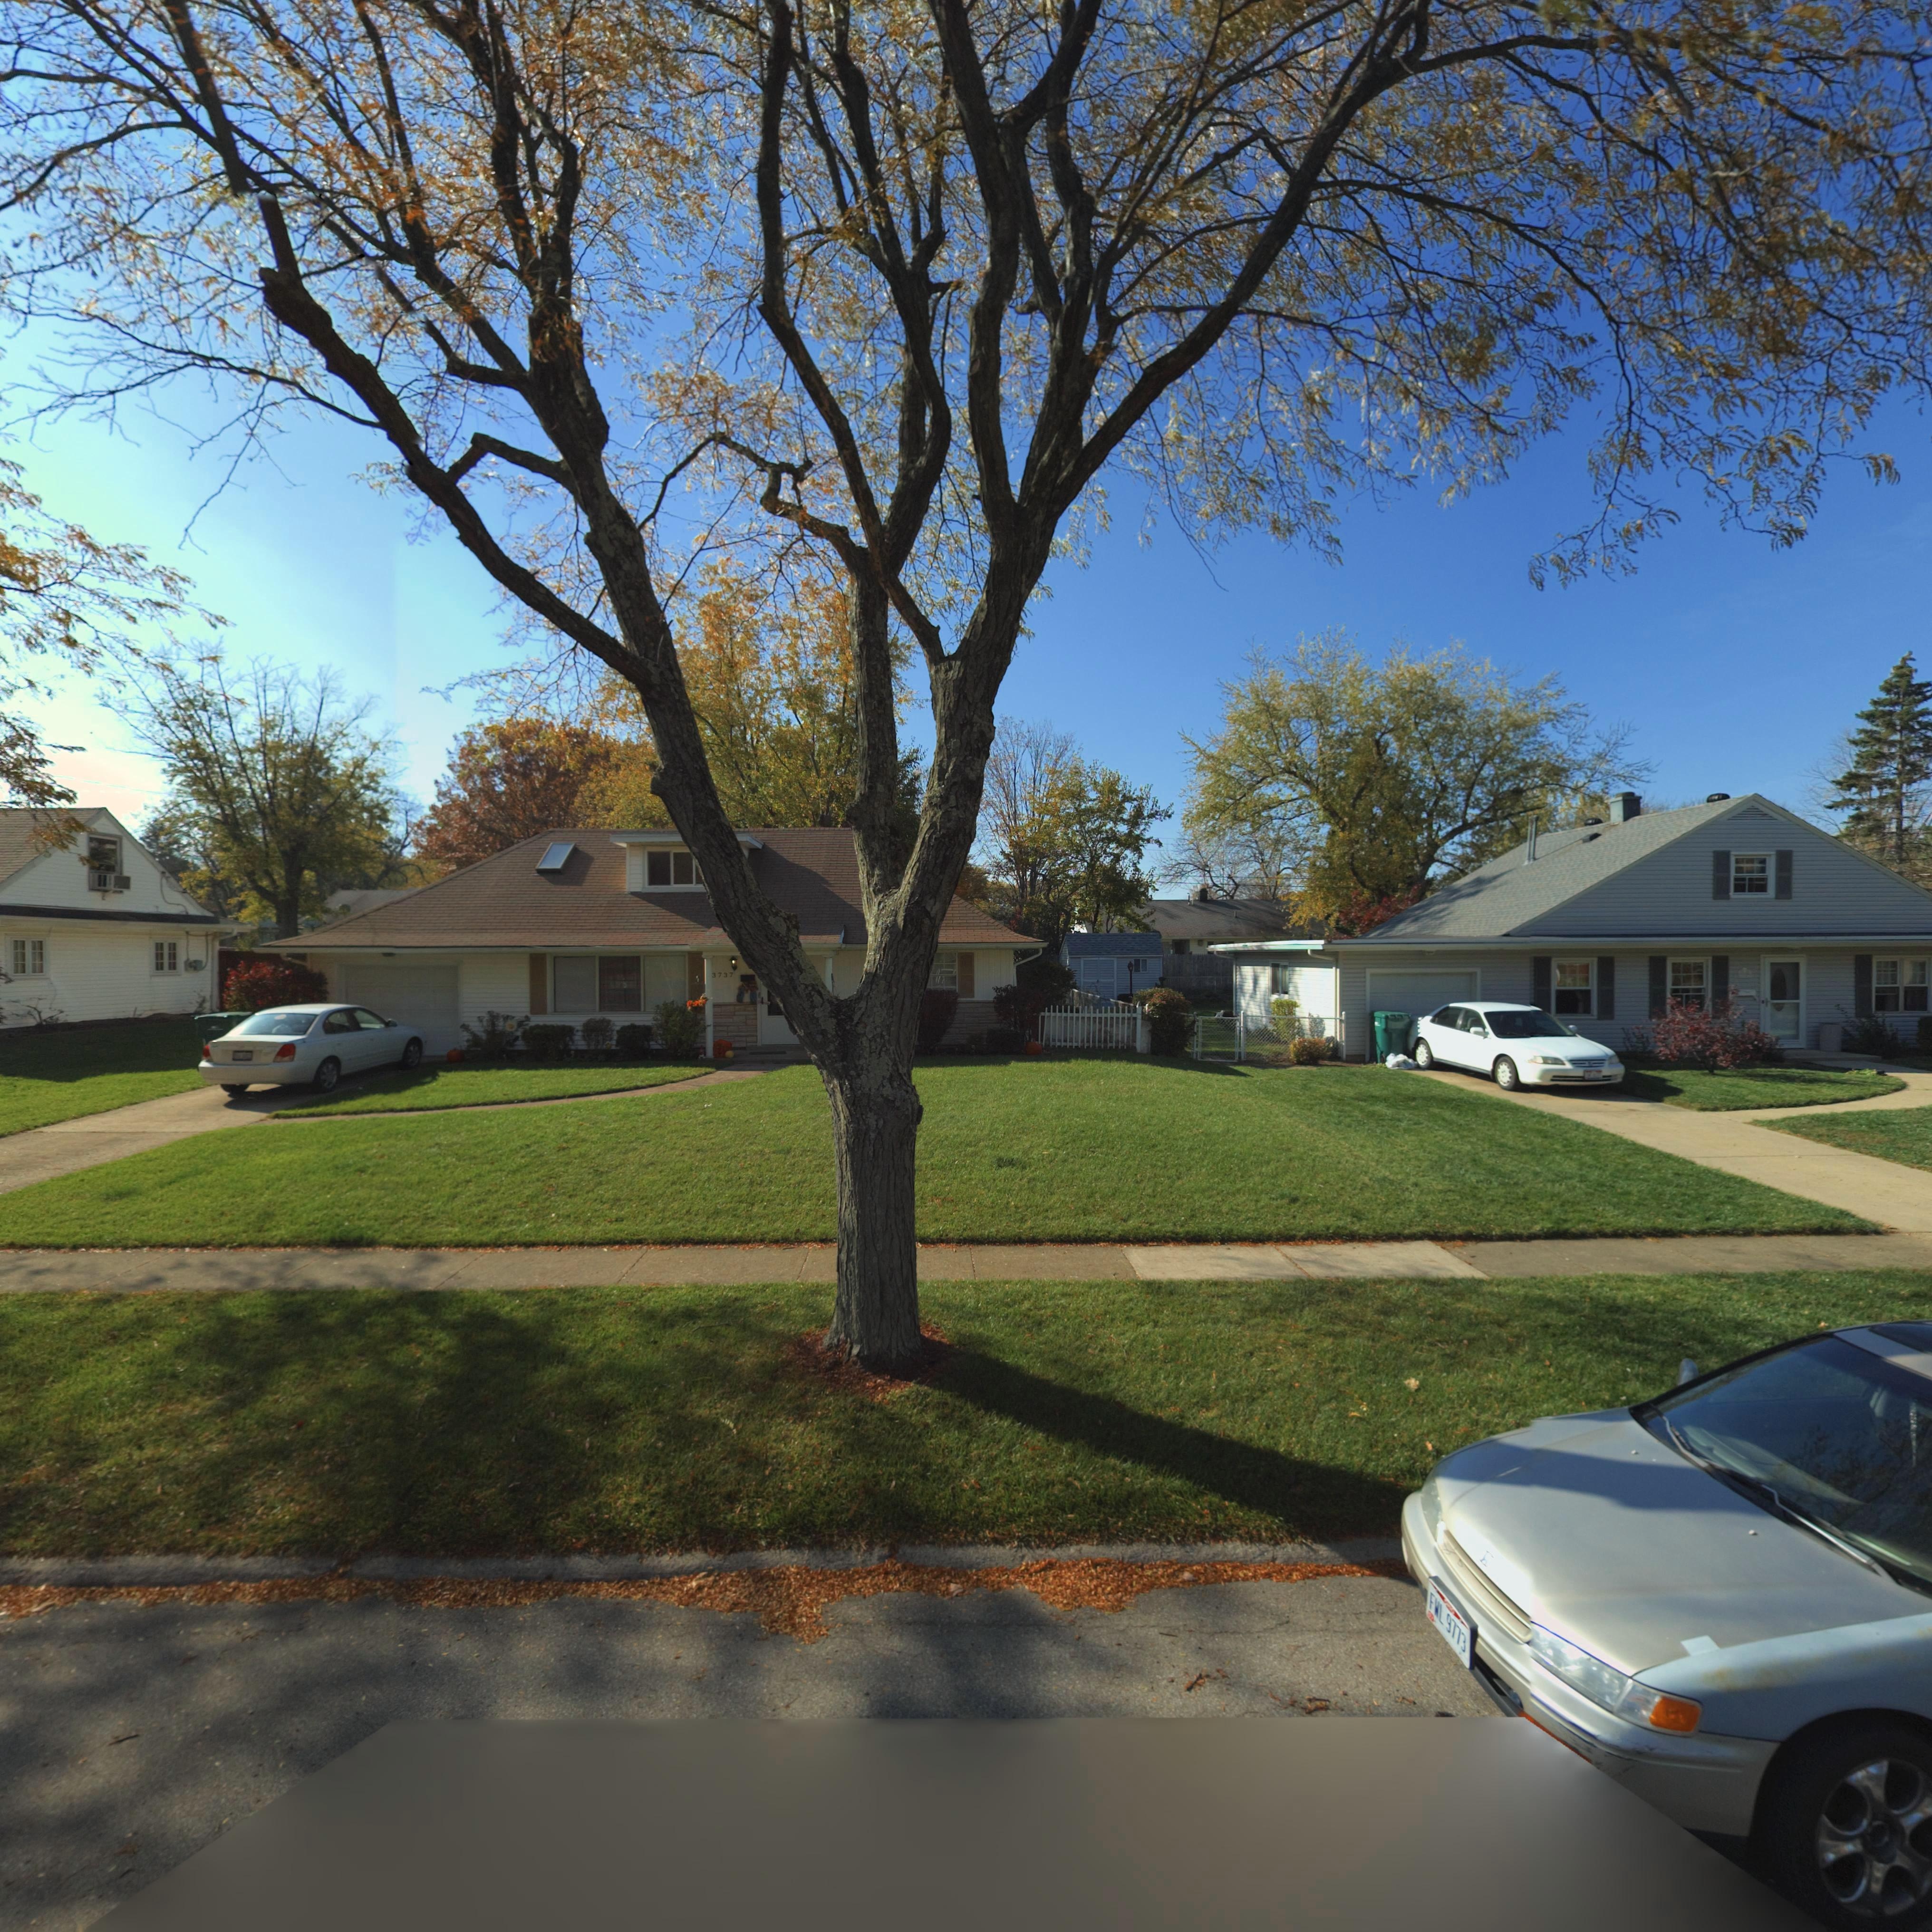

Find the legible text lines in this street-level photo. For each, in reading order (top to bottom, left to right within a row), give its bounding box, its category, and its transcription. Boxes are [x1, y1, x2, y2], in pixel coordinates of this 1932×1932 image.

[712, 972, 734, 978] StreetNumber: 3737
[1429, 1591, 1467, 1654] None: FWL*9773